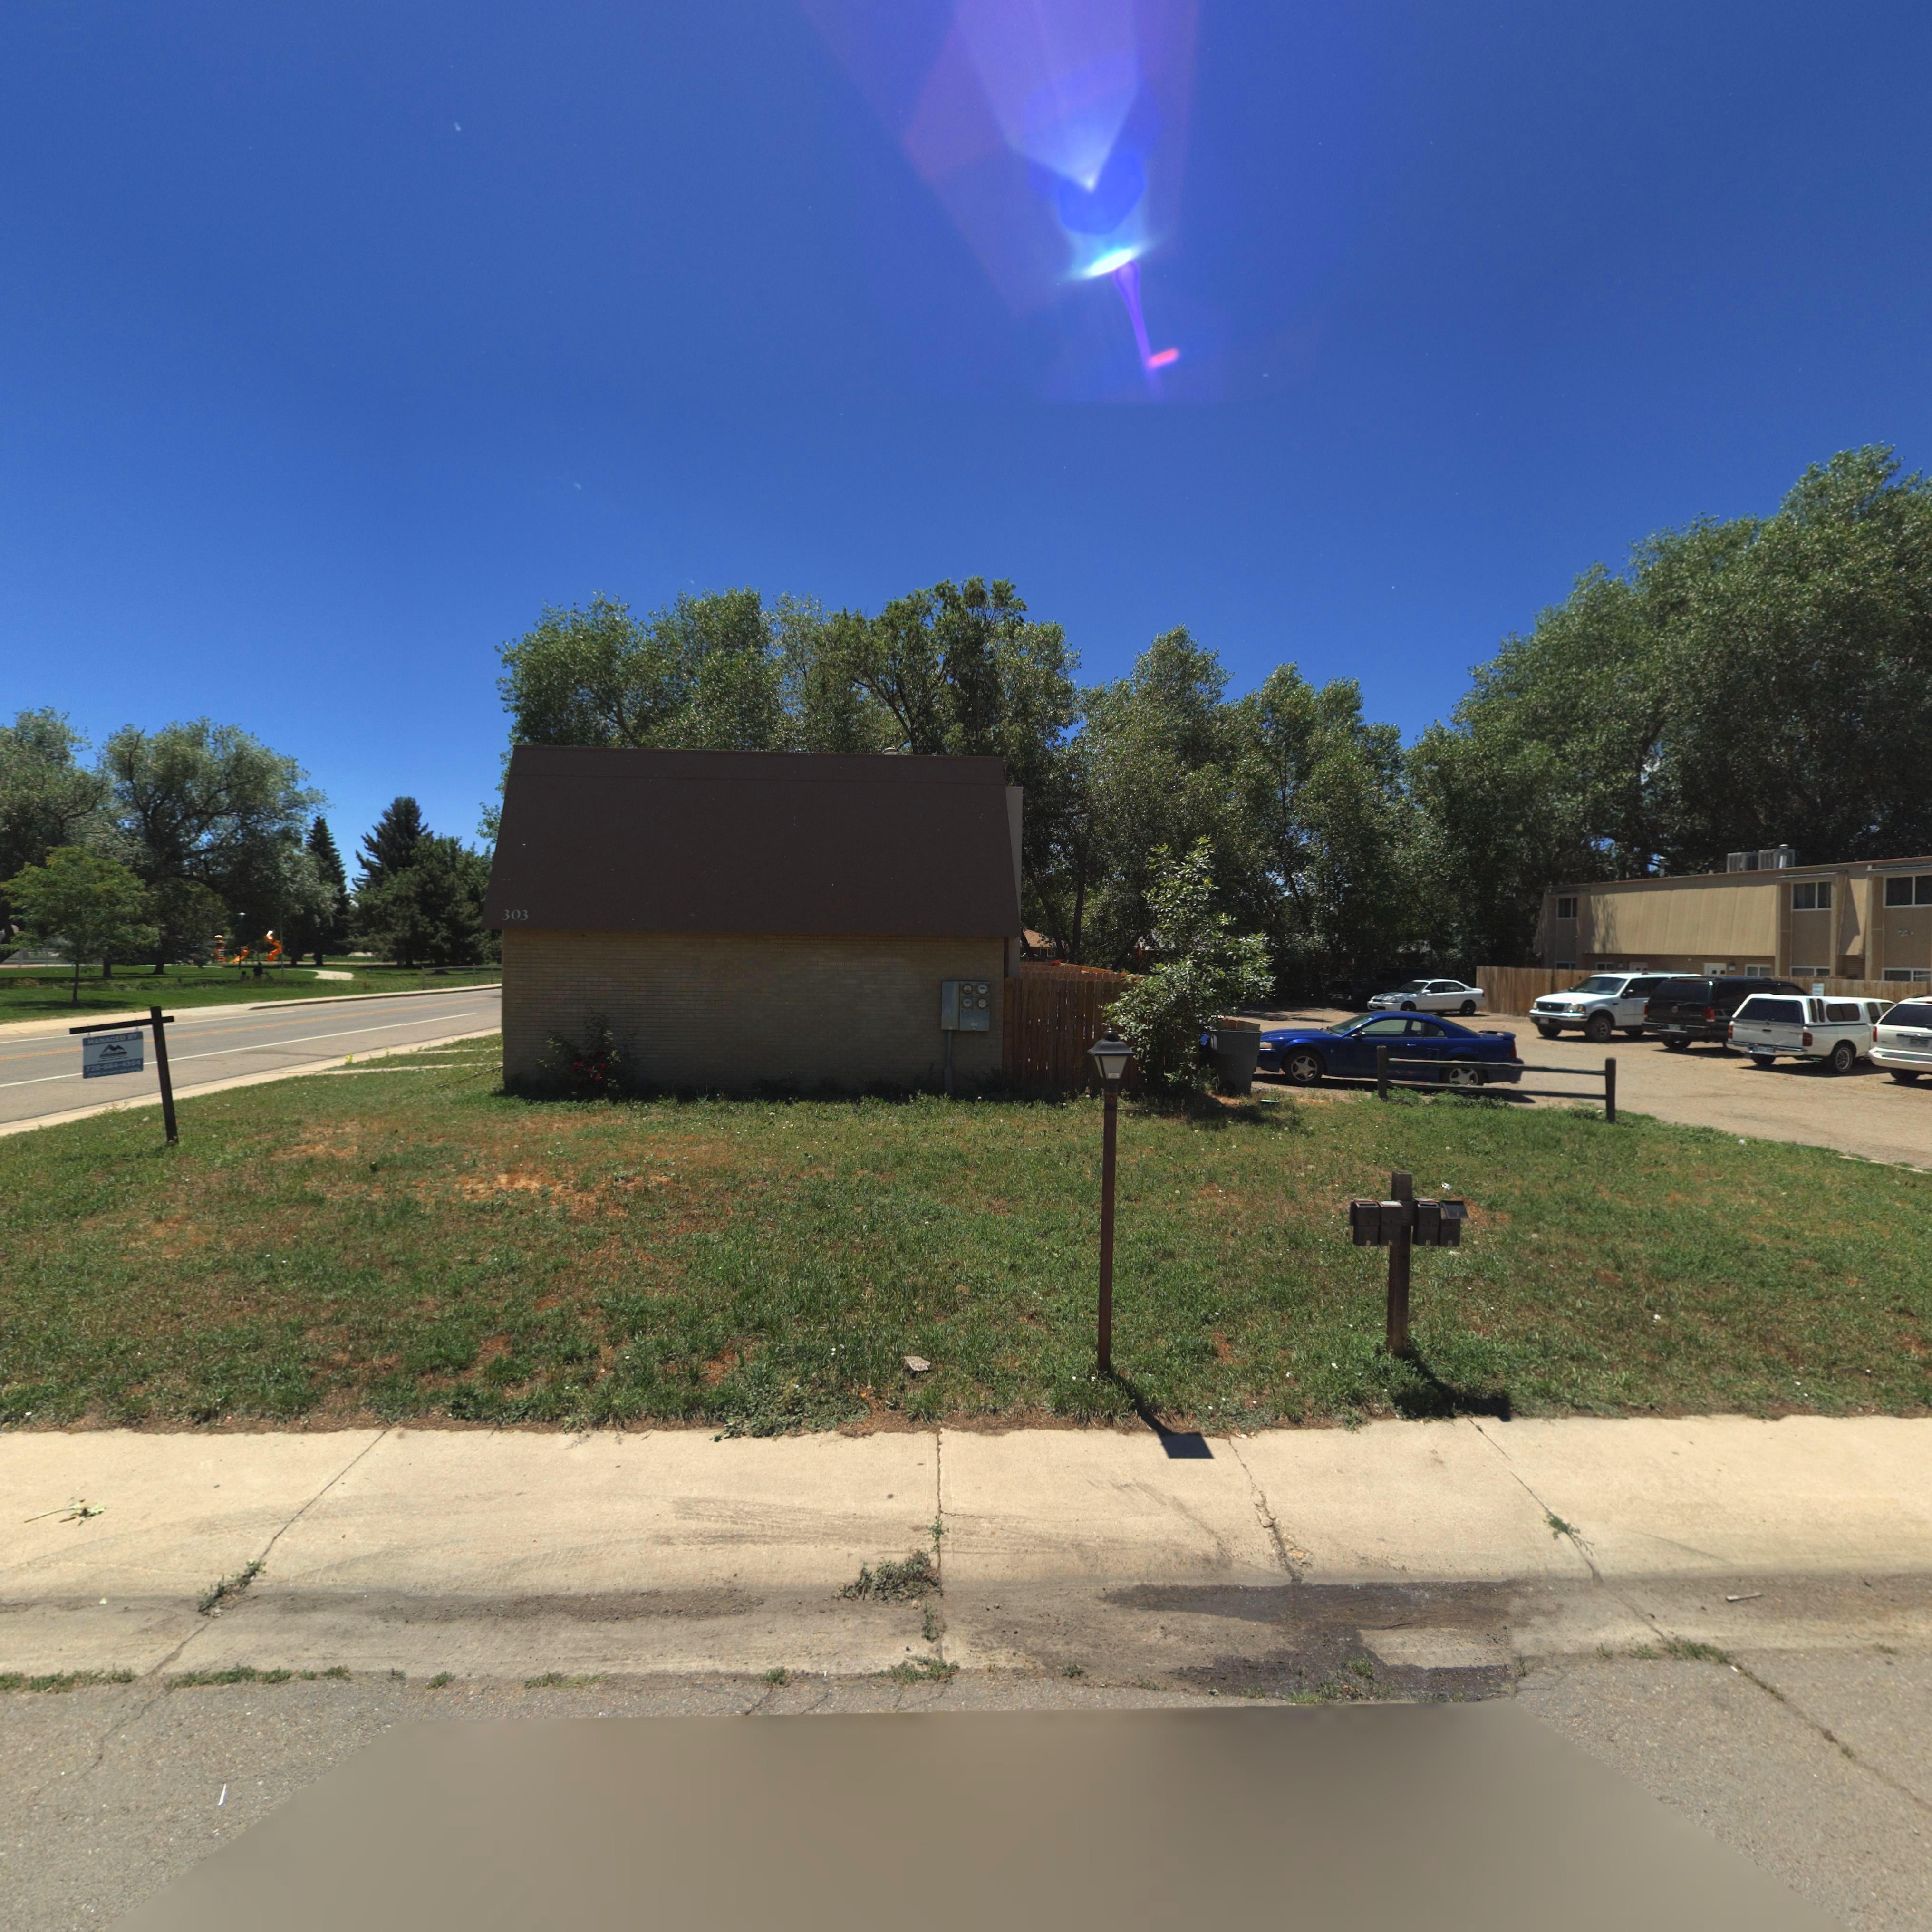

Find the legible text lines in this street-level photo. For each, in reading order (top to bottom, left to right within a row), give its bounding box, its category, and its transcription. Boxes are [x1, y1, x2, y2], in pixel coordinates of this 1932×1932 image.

[501, 908, 529, 921] StreetNumber: 303
[1426, 1240, 1430, 1246] StreetNumber: 3
[1448, 1241, 1451, 1246] StreetNumber: 4